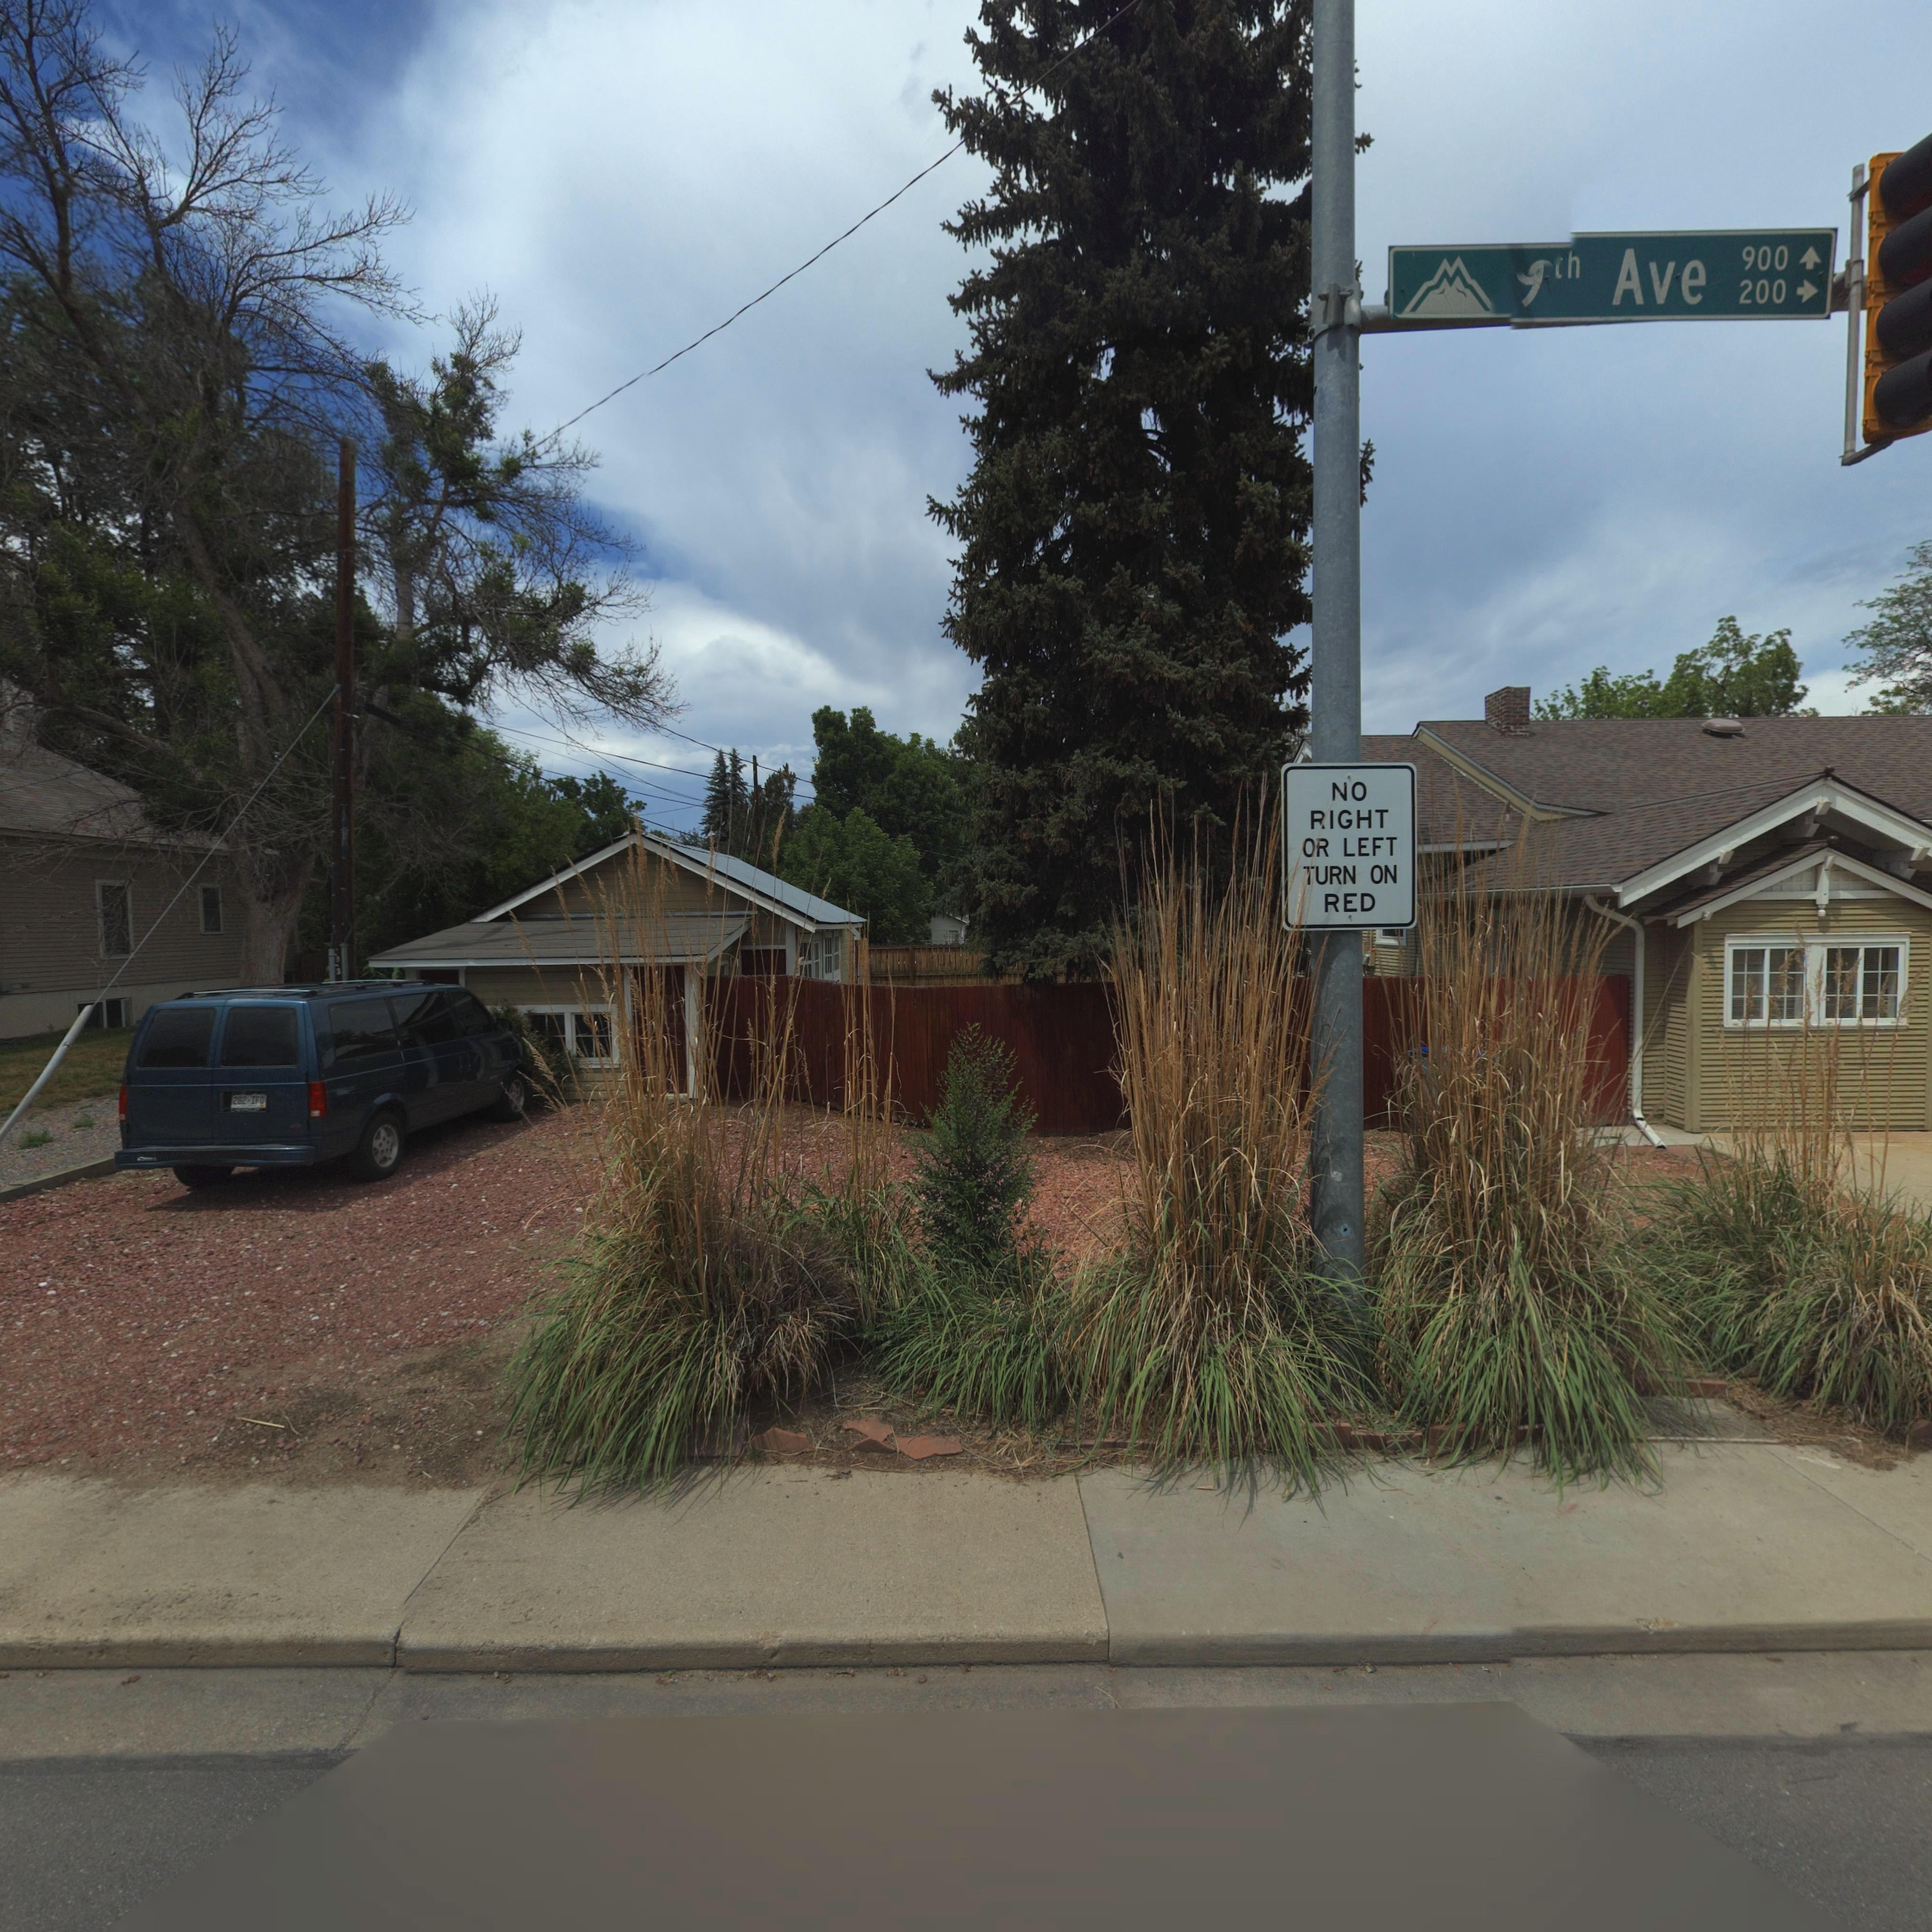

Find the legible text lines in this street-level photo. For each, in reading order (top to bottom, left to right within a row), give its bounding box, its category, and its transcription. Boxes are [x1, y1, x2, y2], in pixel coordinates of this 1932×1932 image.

[1741, 245, 1789, 270] StreetNumberRange: 900
[1518, 246, 1706, 308] StreetName: **h Ave
[1738, 279, 1816, 305] StreetNumberRange: 200 ->